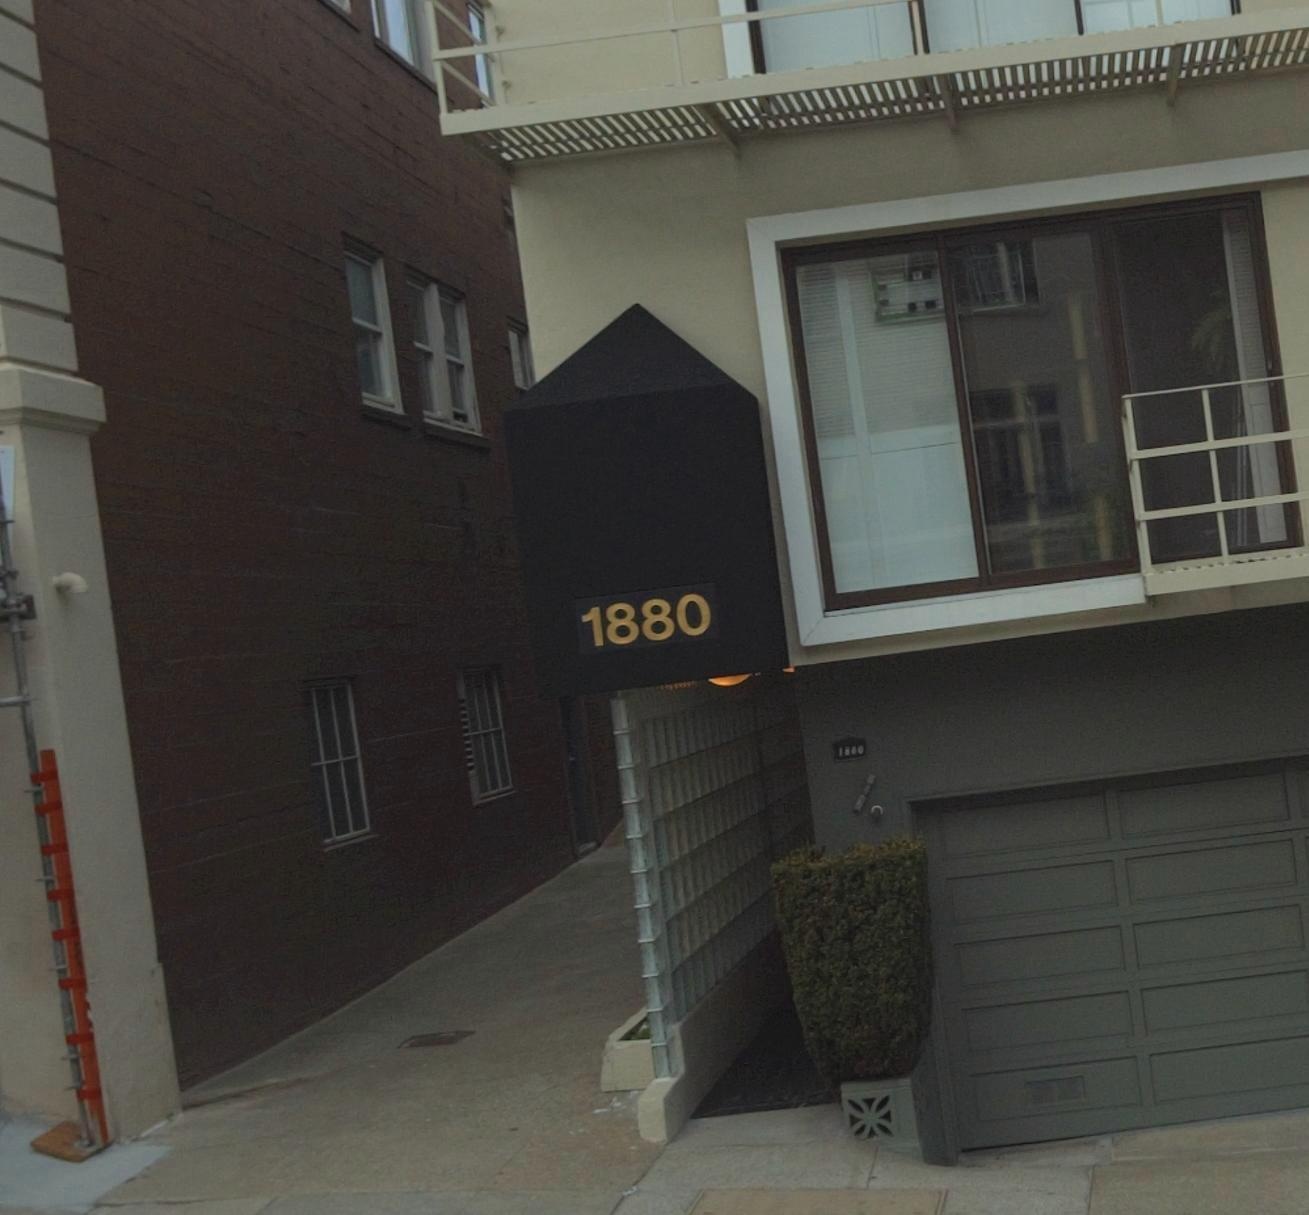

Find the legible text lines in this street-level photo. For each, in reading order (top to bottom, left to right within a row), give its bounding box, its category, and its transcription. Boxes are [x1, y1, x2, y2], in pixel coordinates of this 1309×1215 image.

[578, 591, 715, 651] StreetNumber: 1880
[837, 744, 866, 757] StreetNumber: 18*0